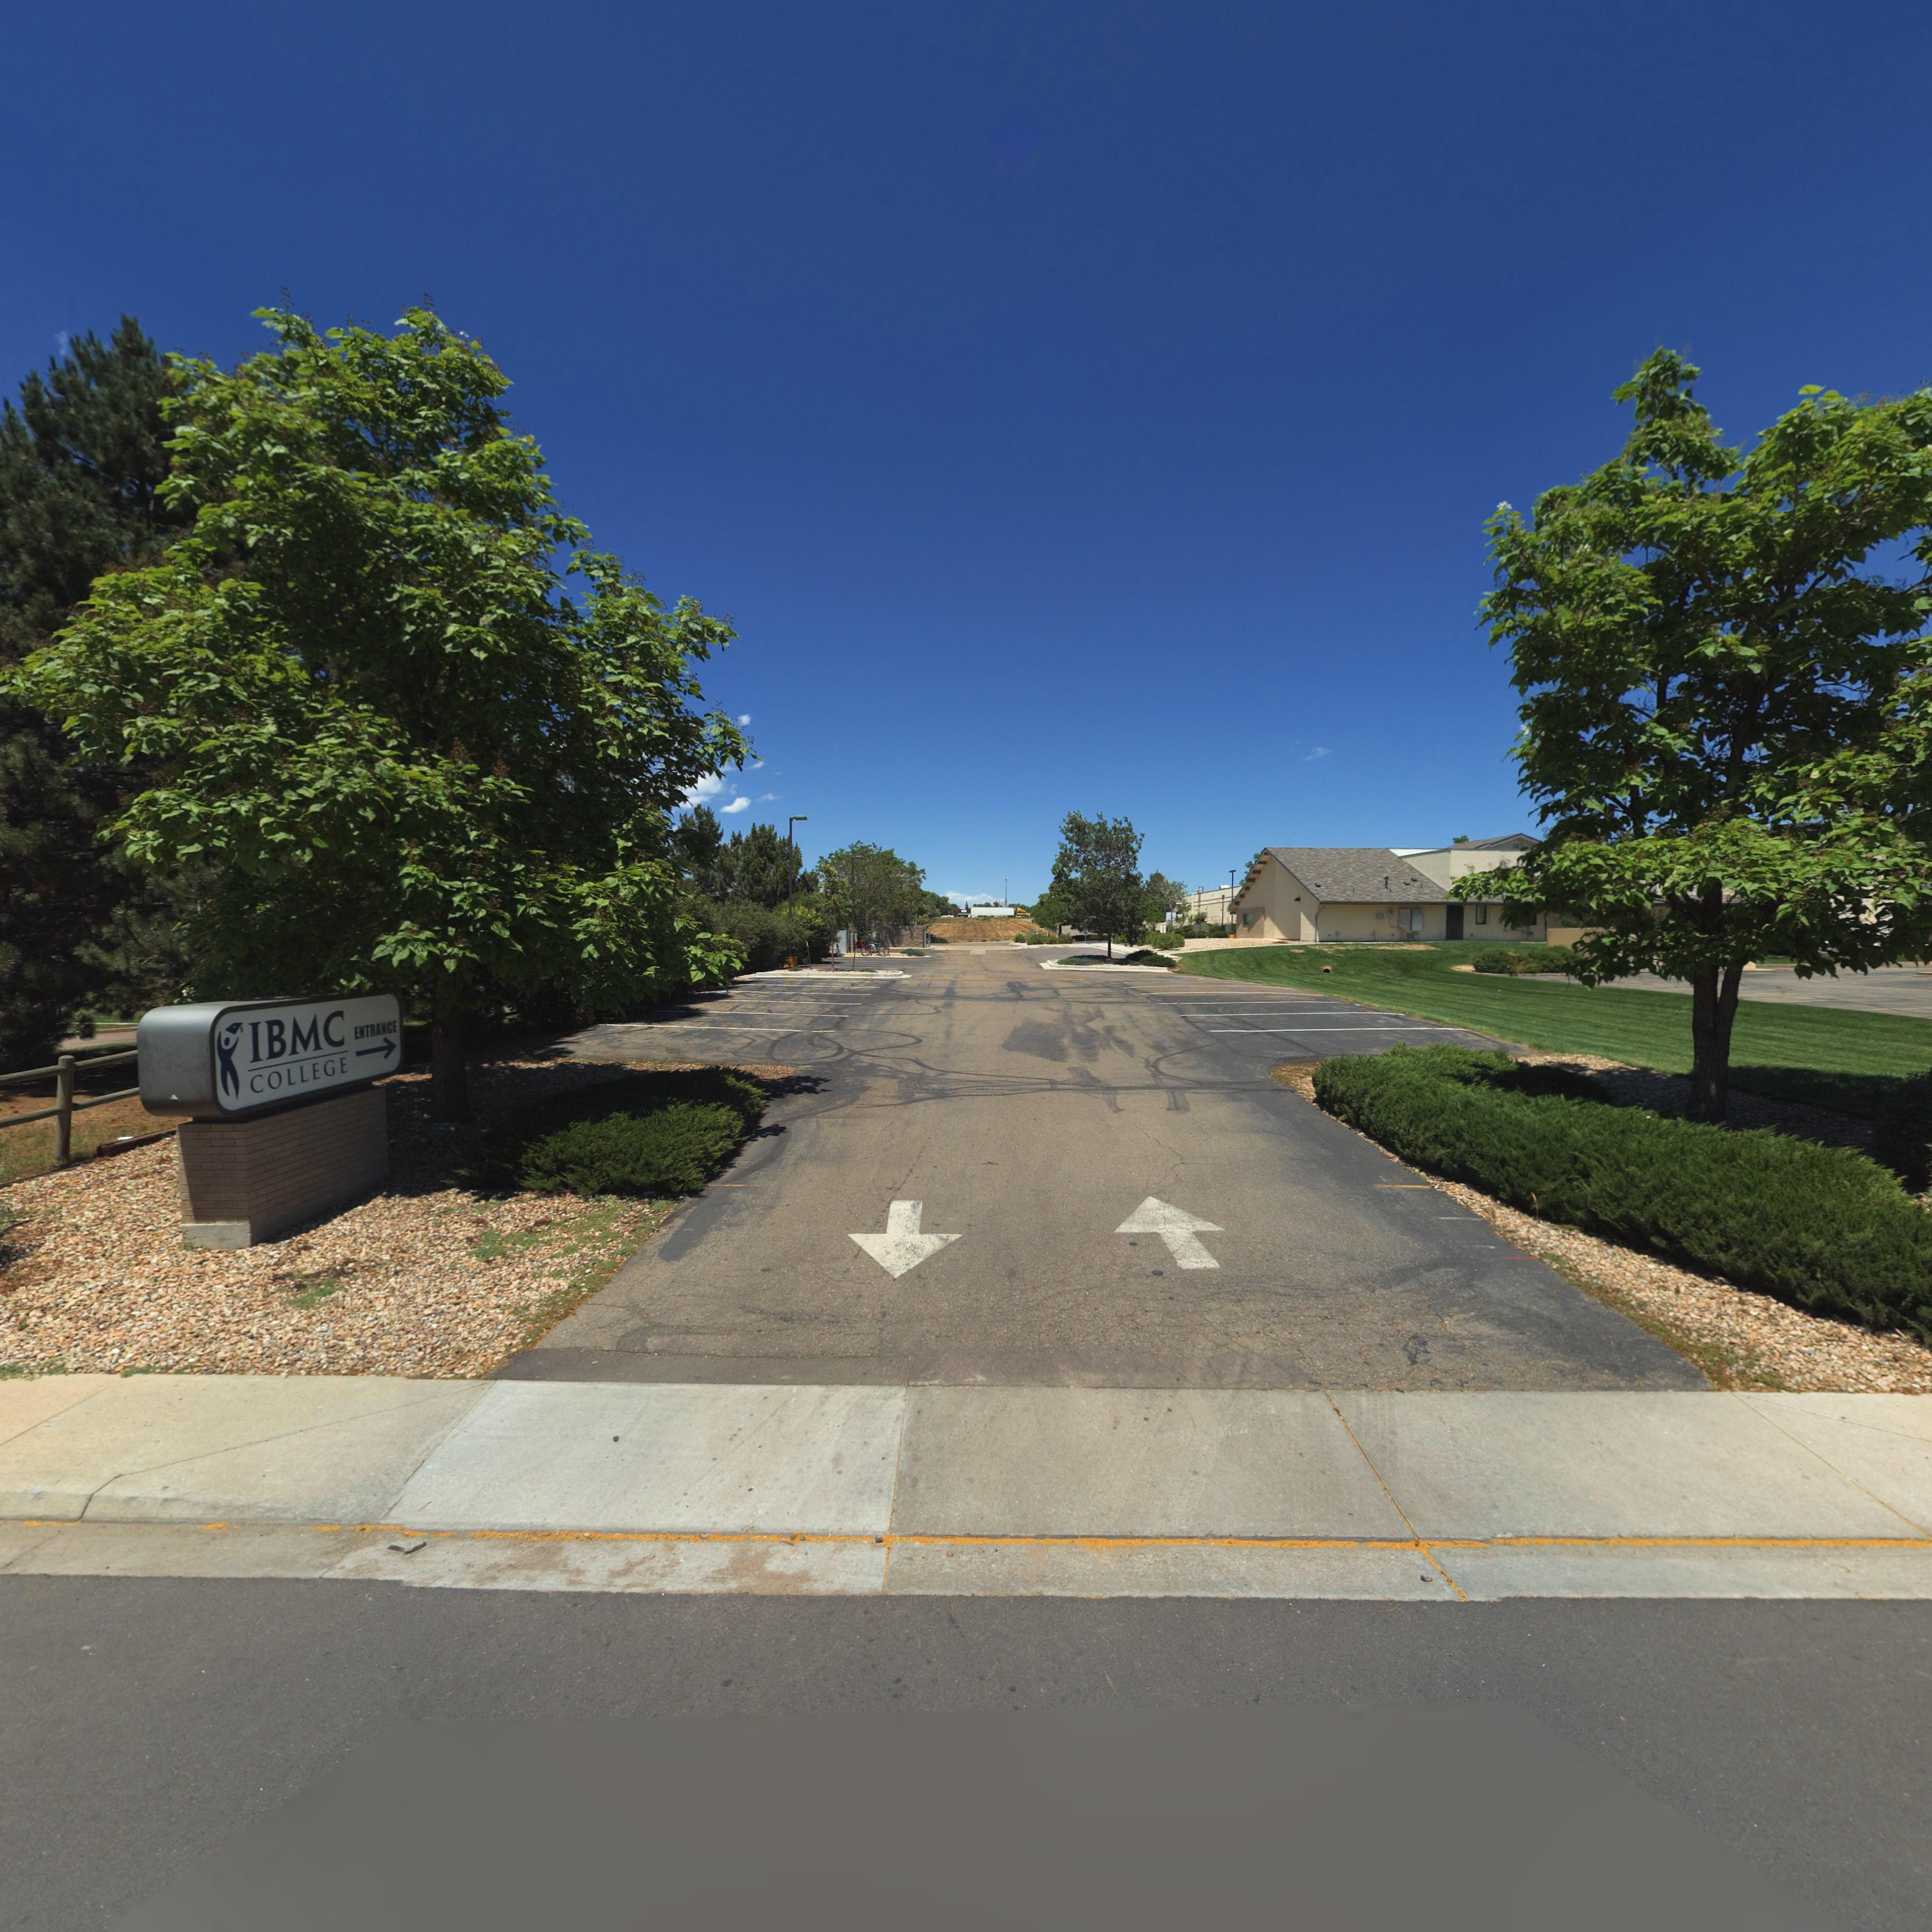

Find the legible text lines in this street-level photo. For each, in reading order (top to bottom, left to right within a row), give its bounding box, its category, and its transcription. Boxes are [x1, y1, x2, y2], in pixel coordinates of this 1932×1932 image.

[247, 1009, 345, 1064] BusinessName: IBMC
[249, 1055, 348, 1094] BusinessName: COLLEGE